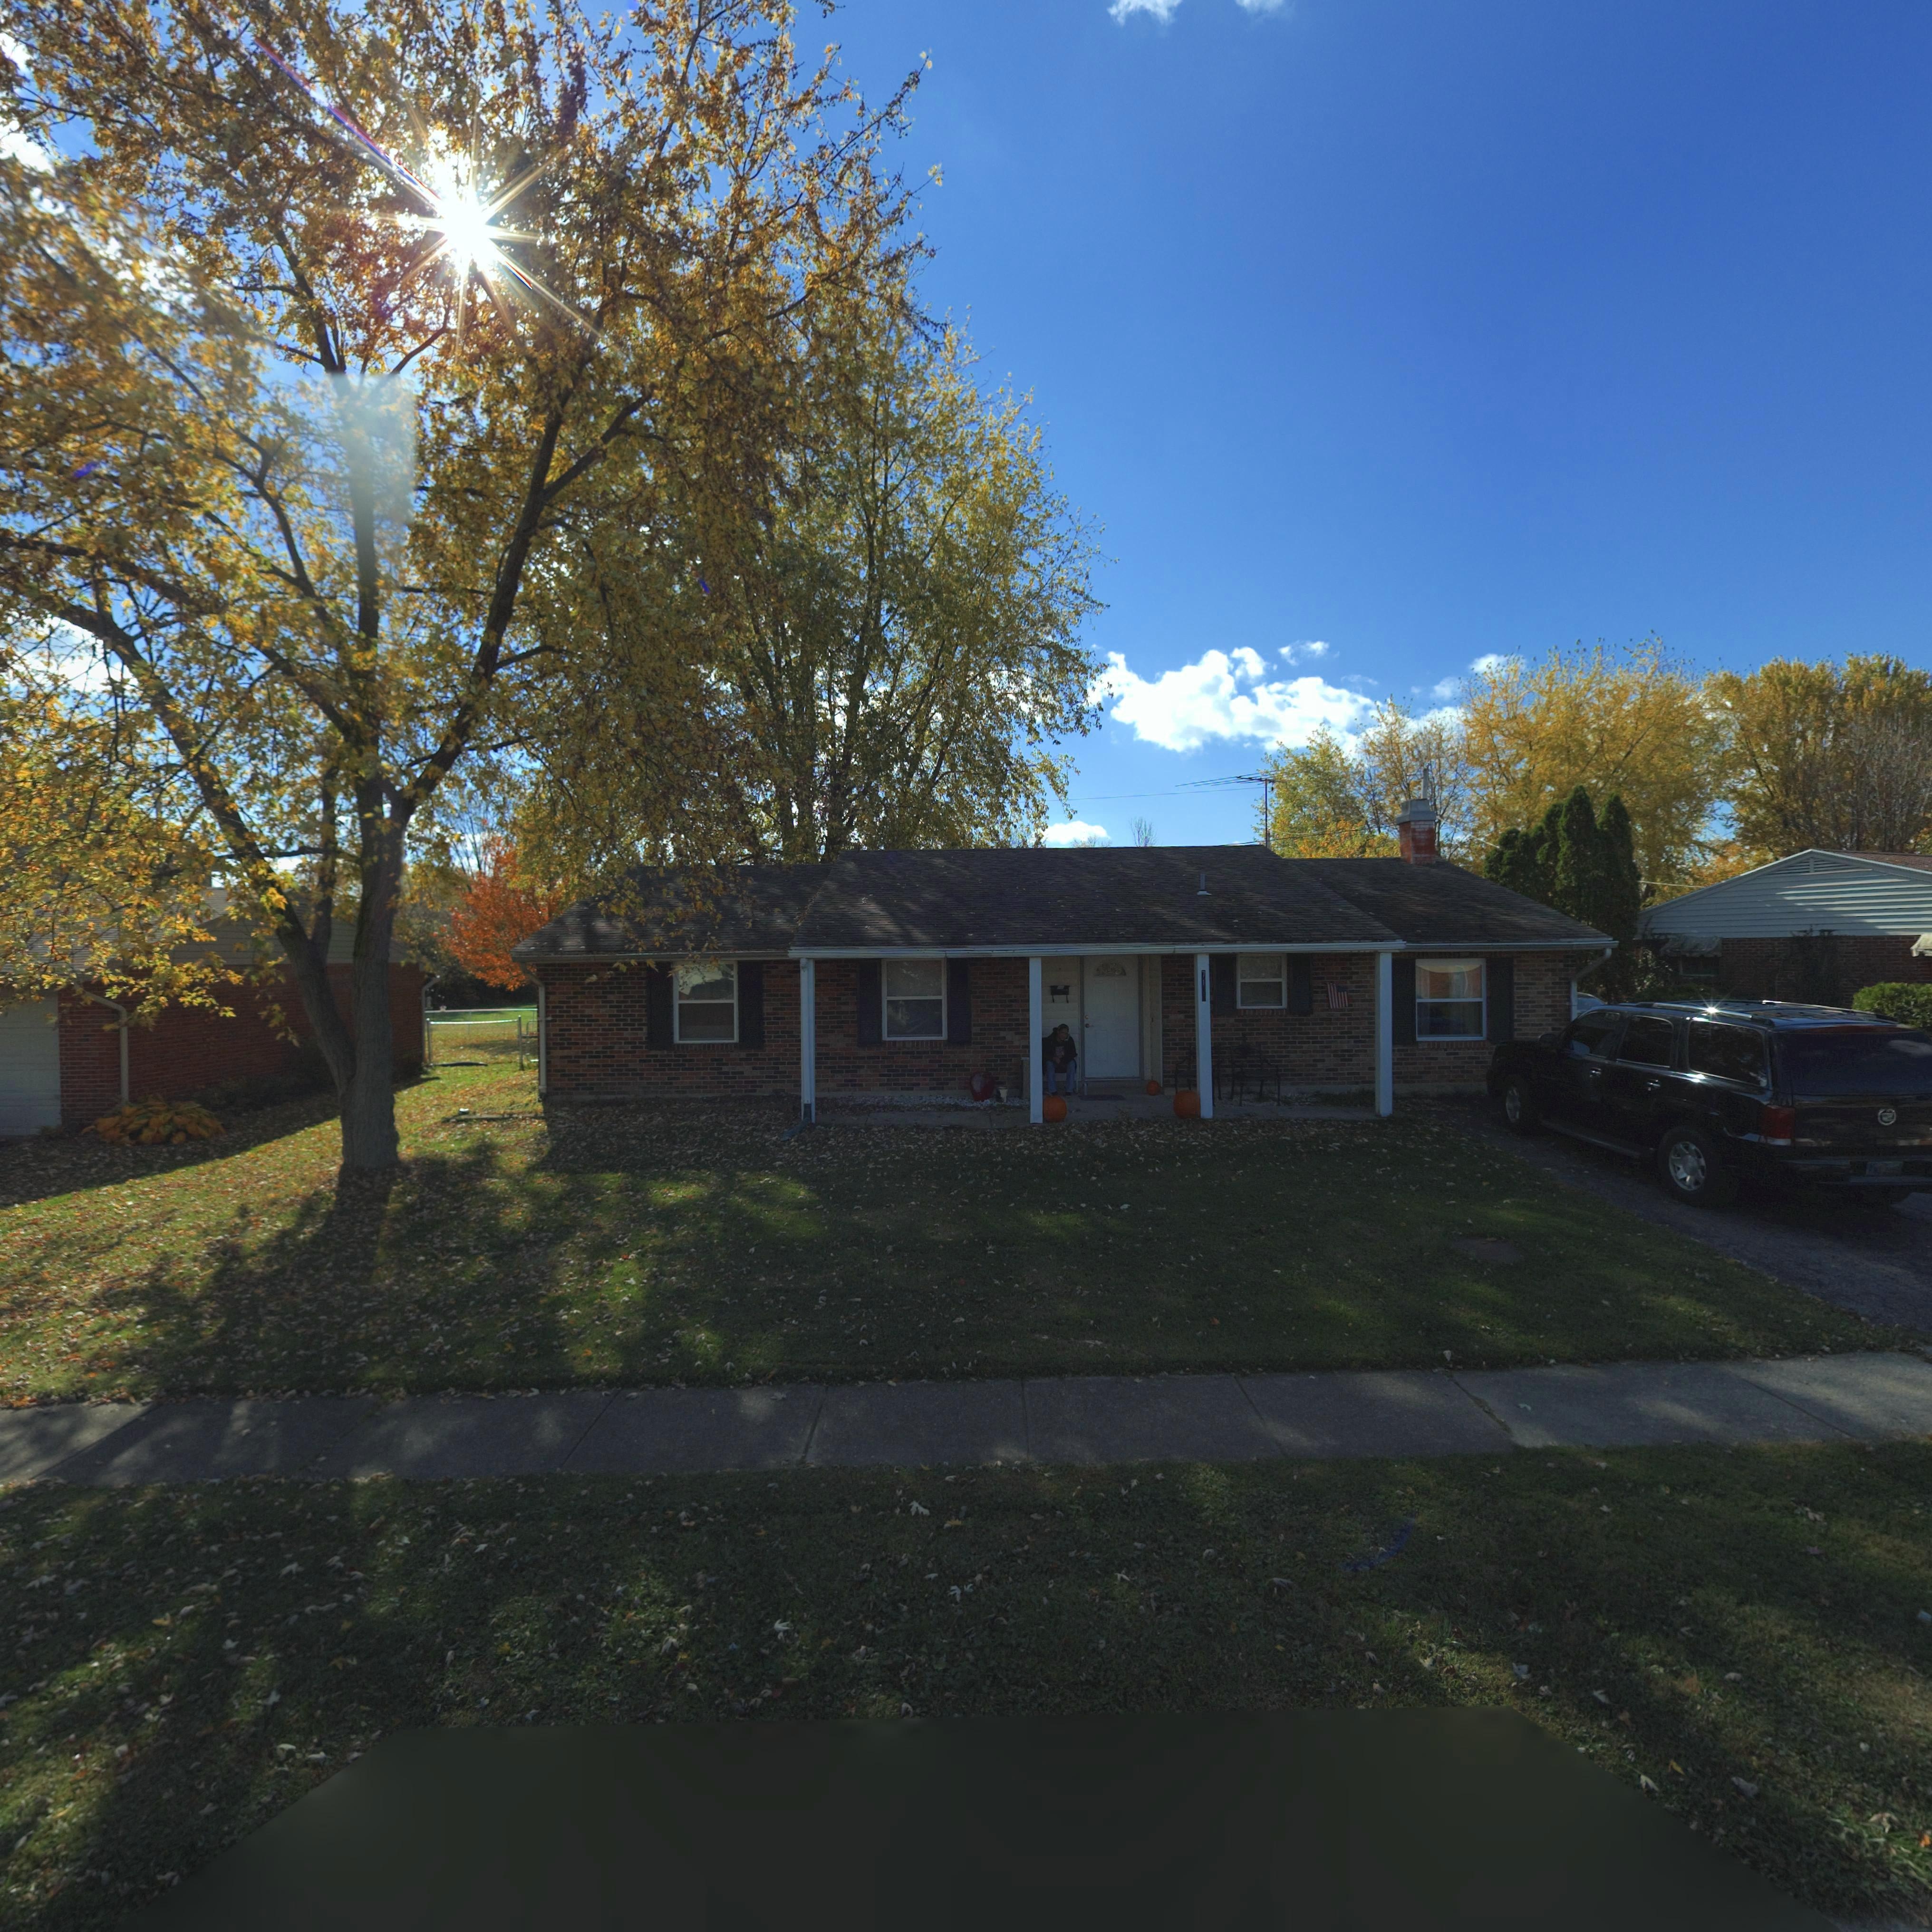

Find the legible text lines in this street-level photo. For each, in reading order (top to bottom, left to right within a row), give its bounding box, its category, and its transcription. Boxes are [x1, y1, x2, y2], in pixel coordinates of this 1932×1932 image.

[1201, 970, 1206, 986] StreetNumber: 71